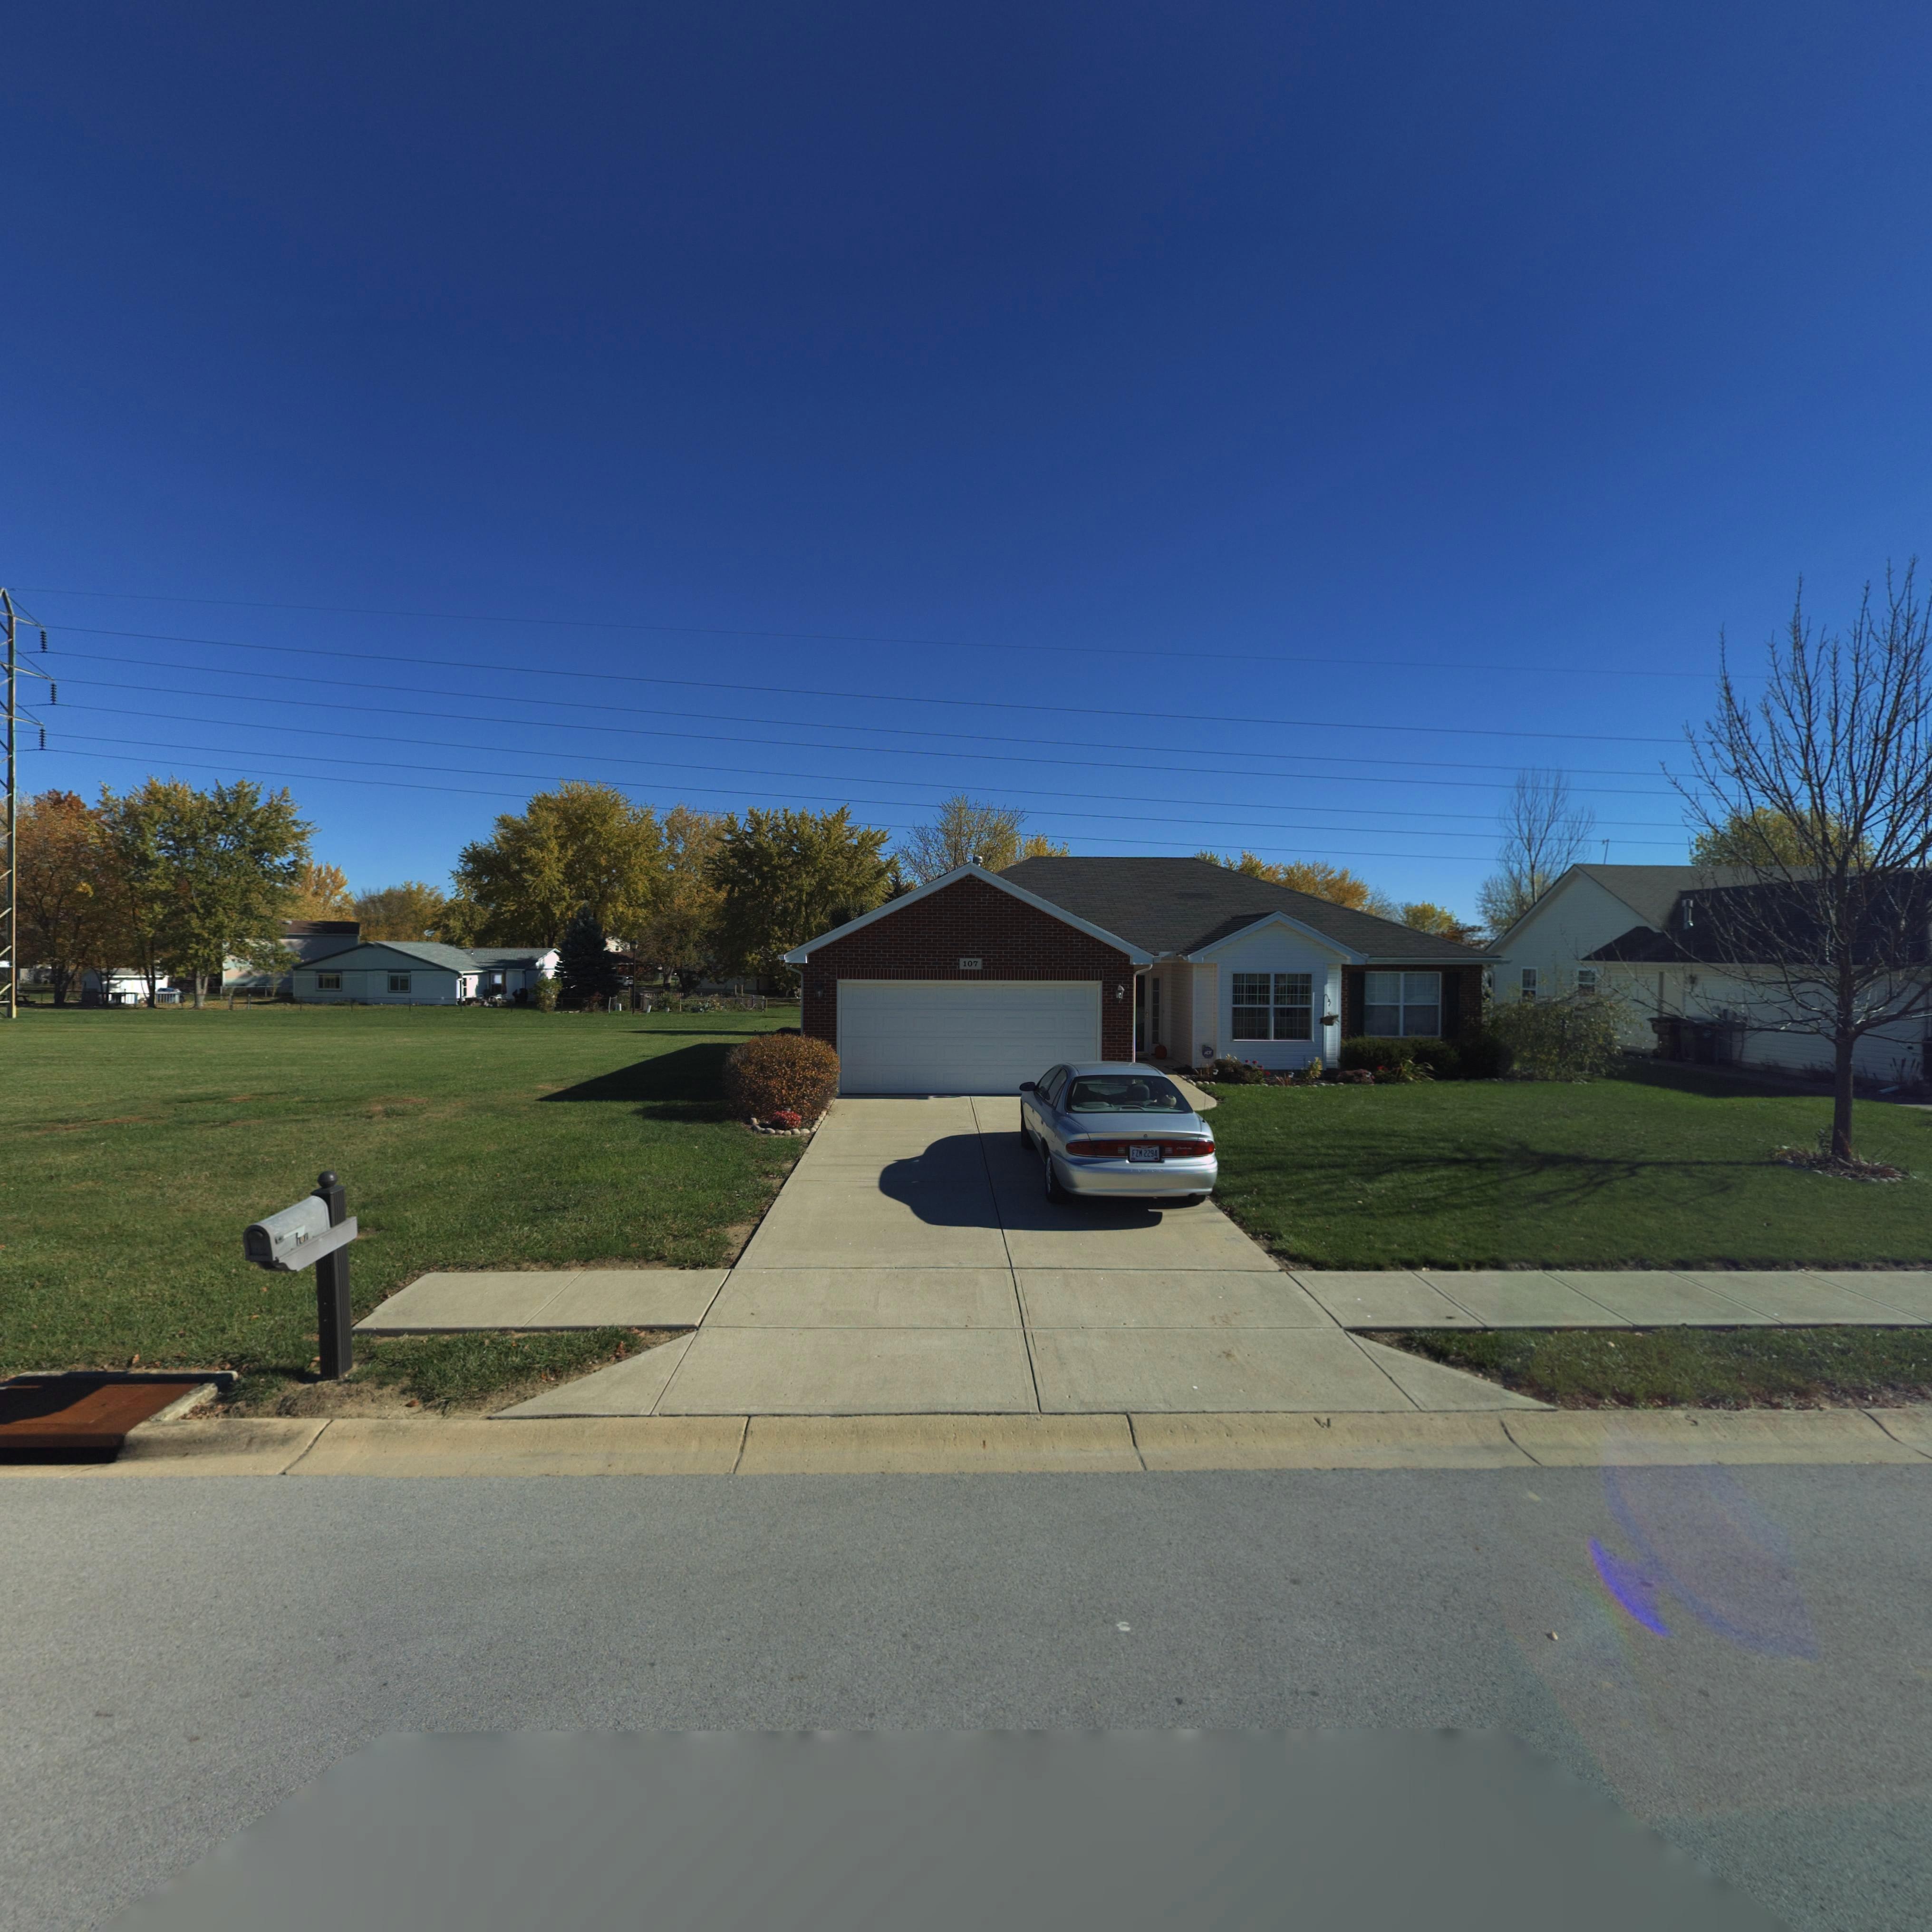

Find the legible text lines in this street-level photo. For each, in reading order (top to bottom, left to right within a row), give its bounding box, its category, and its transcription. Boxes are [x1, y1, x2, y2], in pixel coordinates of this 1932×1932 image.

[962, 960, 979, 967] StreetNumber: 107